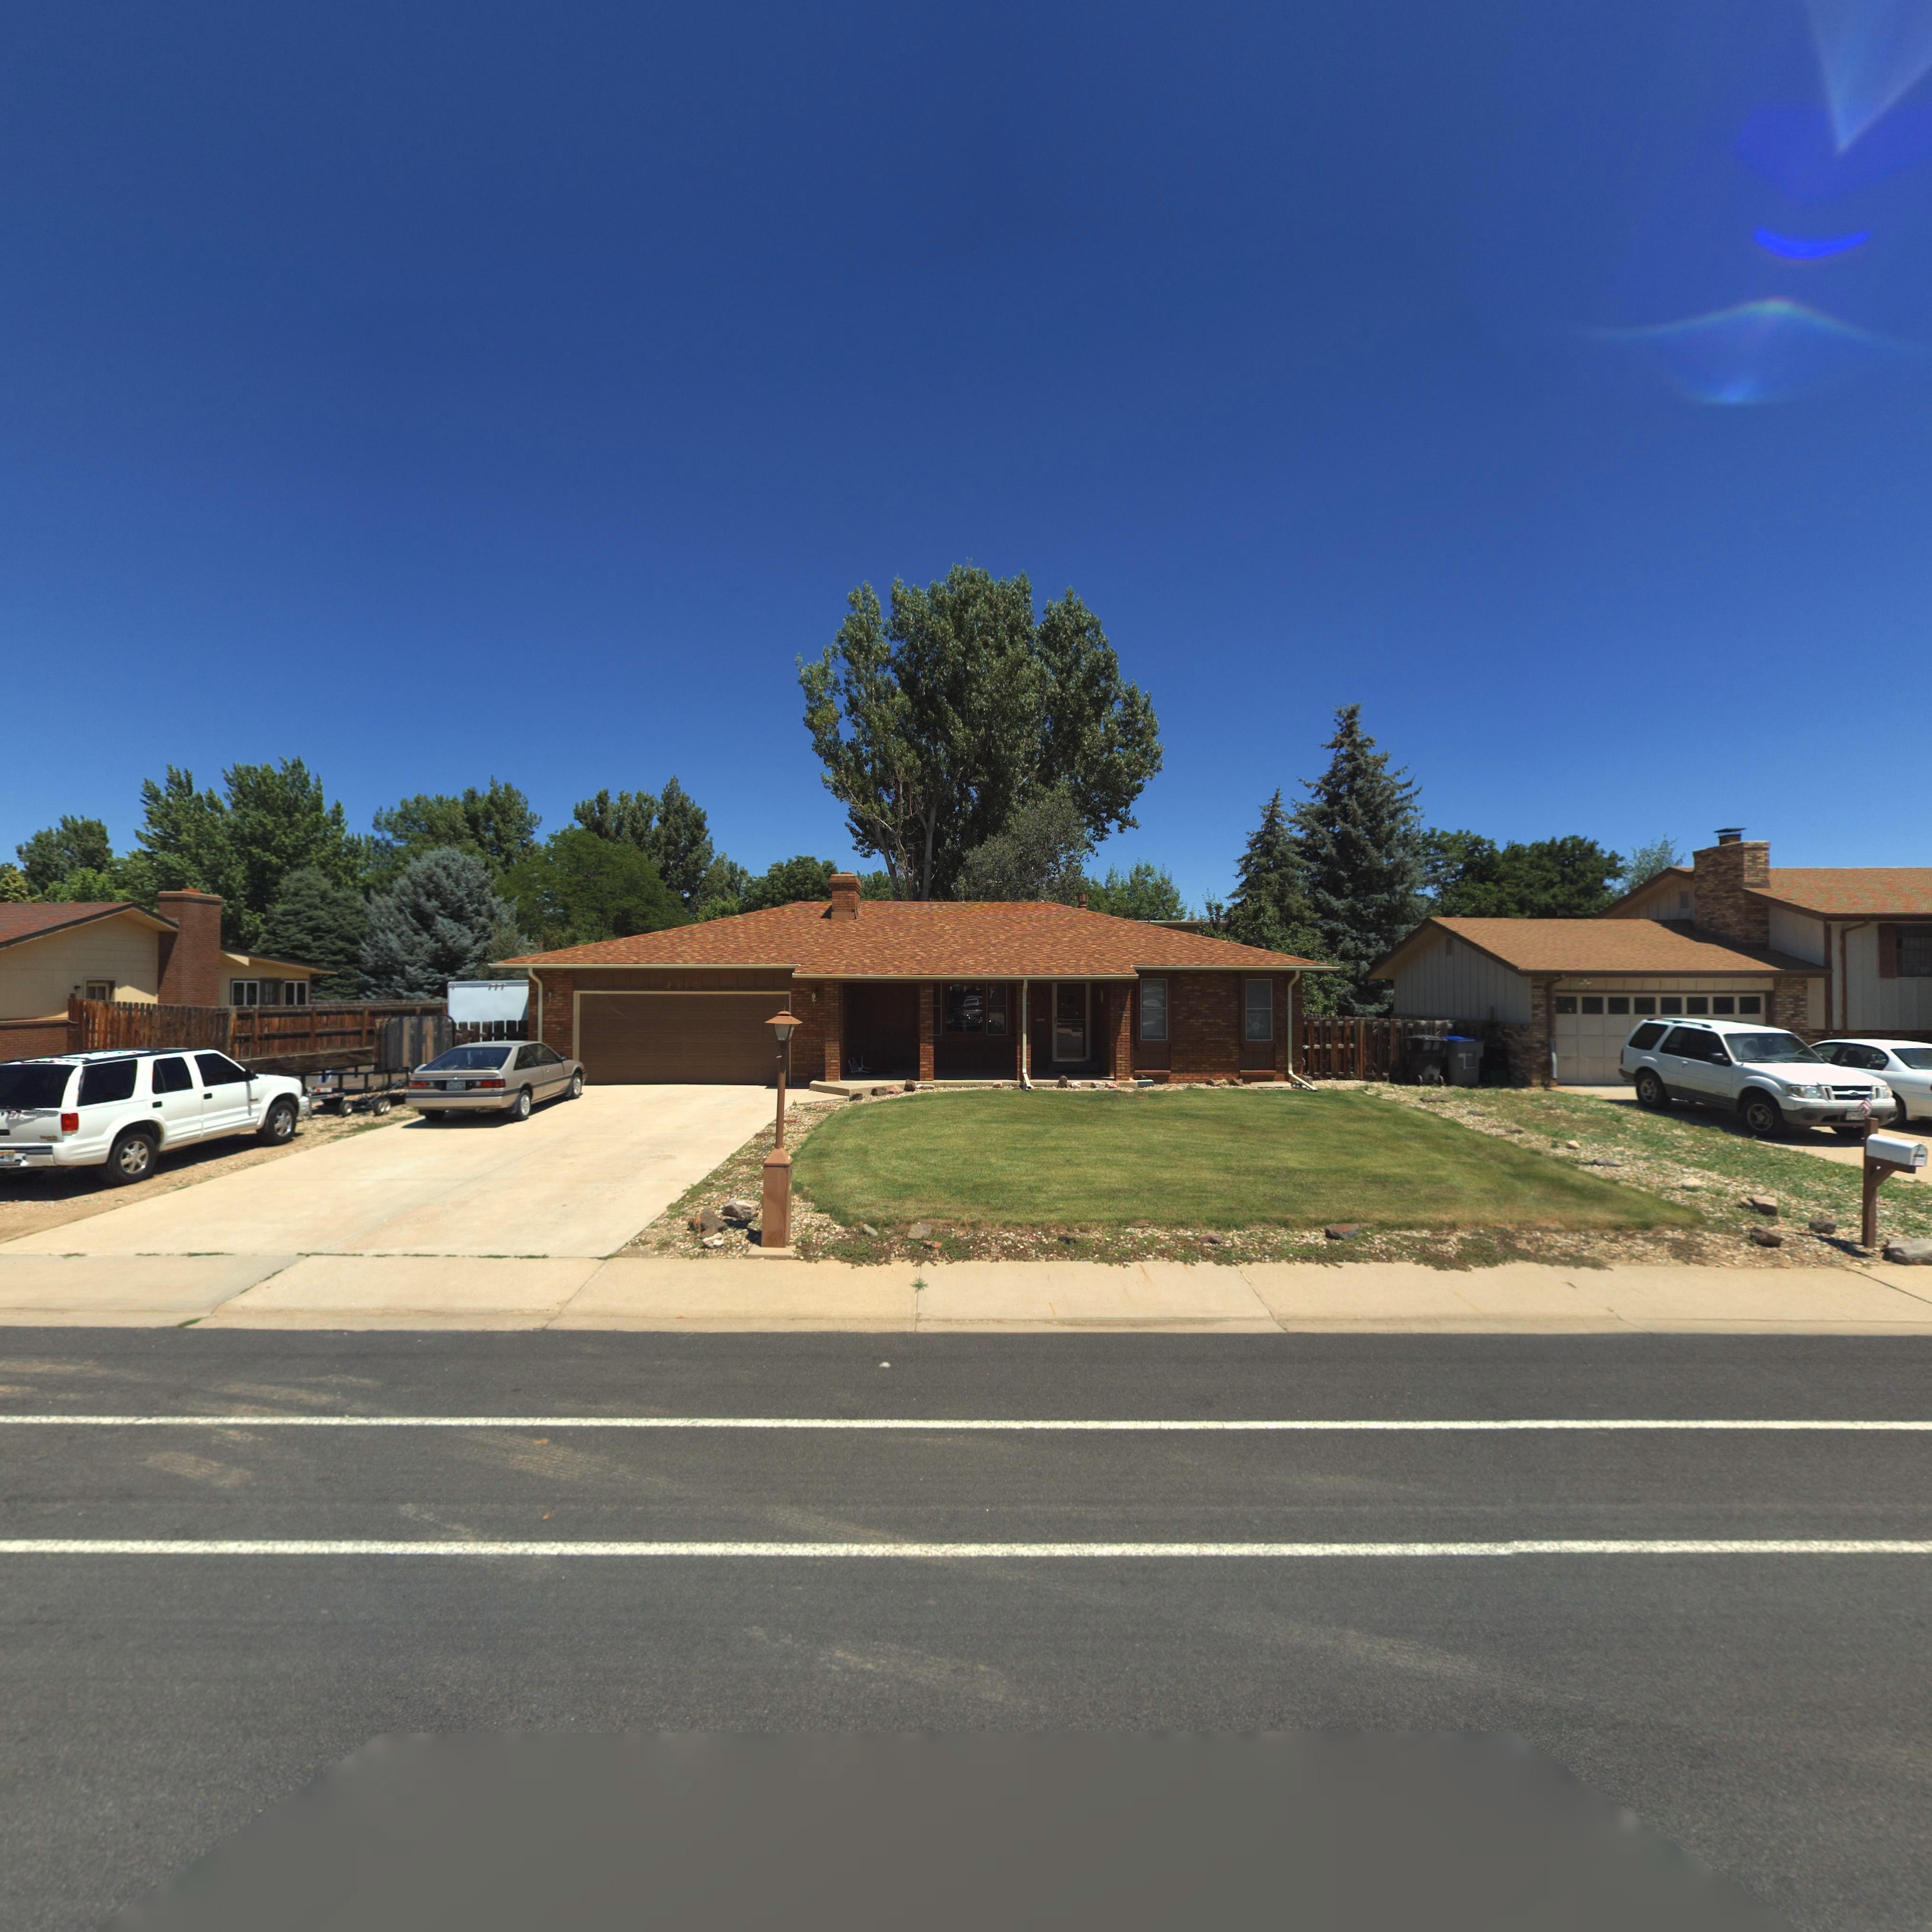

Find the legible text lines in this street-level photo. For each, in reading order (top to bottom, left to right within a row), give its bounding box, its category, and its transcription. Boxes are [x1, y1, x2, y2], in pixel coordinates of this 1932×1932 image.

[666, 981, 699, 988] StreetNumber: 2350